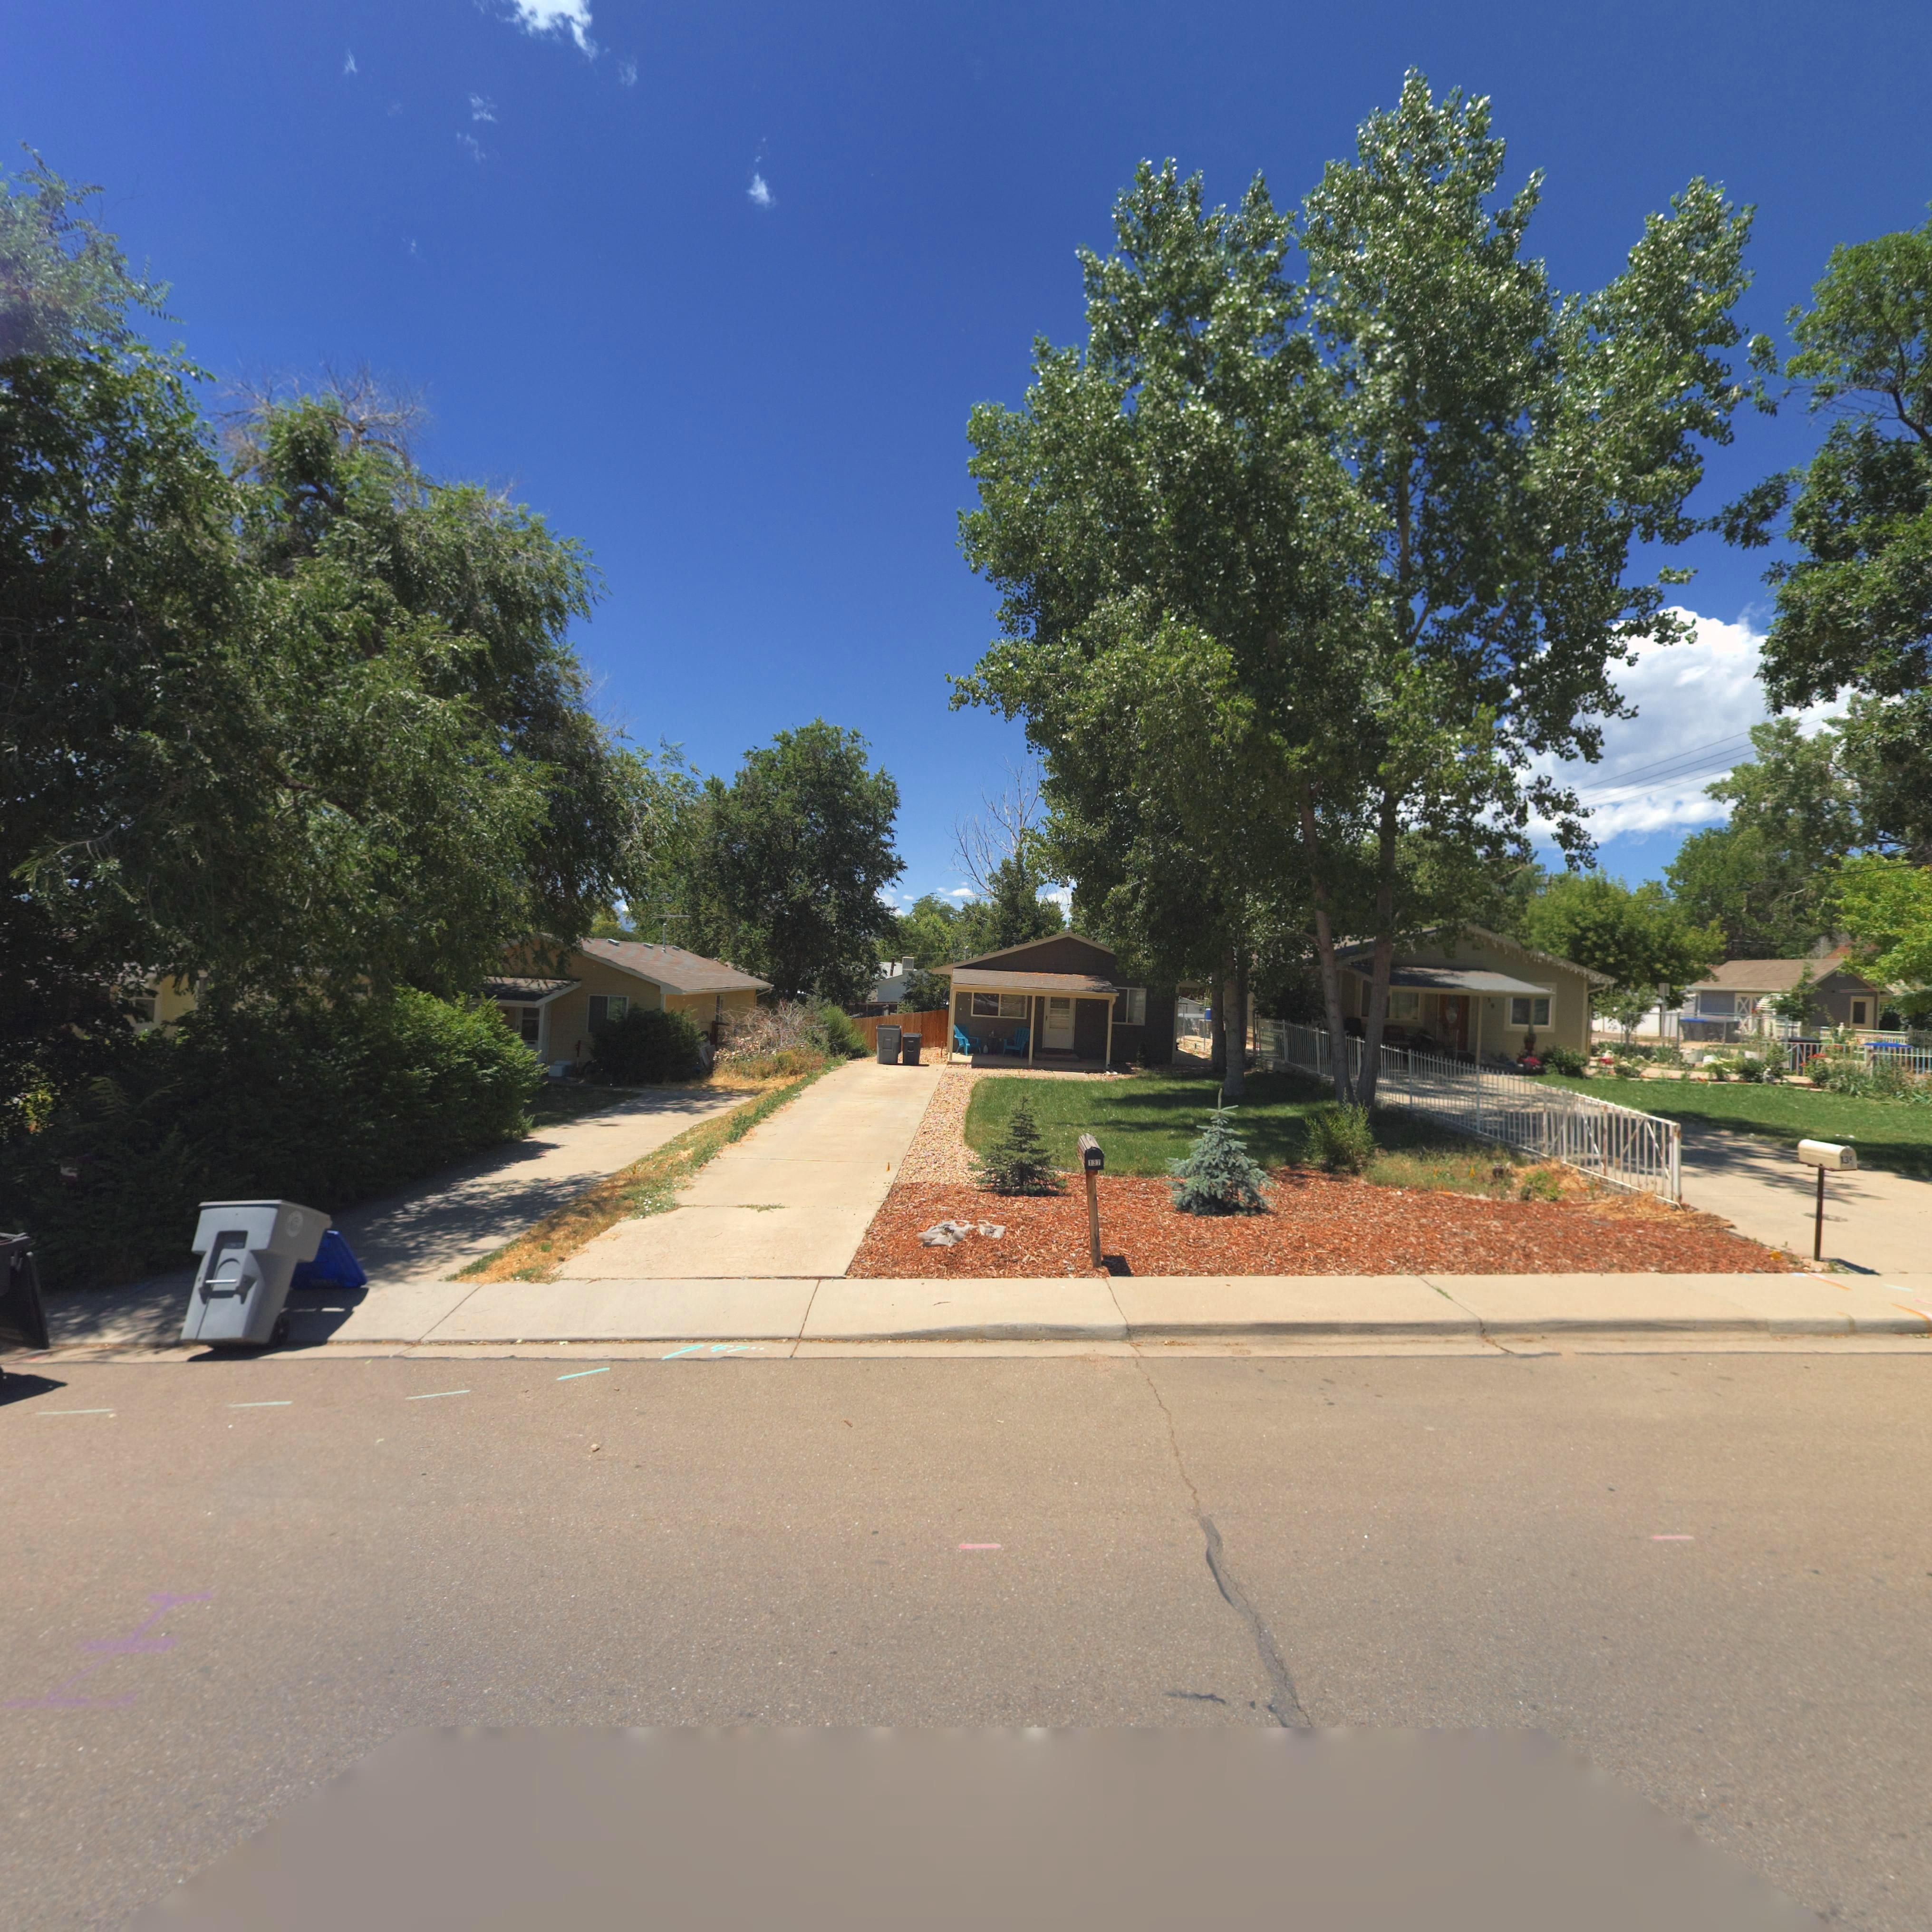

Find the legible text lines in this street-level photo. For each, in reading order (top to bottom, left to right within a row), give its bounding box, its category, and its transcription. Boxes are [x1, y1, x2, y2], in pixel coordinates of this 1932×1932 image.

[1487, 997, 1495, 1009] StreetNumber: 39
[1089, 1159, 1100, 1165] StreetNumber: 137
[1839, 1155, 1854, 1164] StreetNumber: 13*